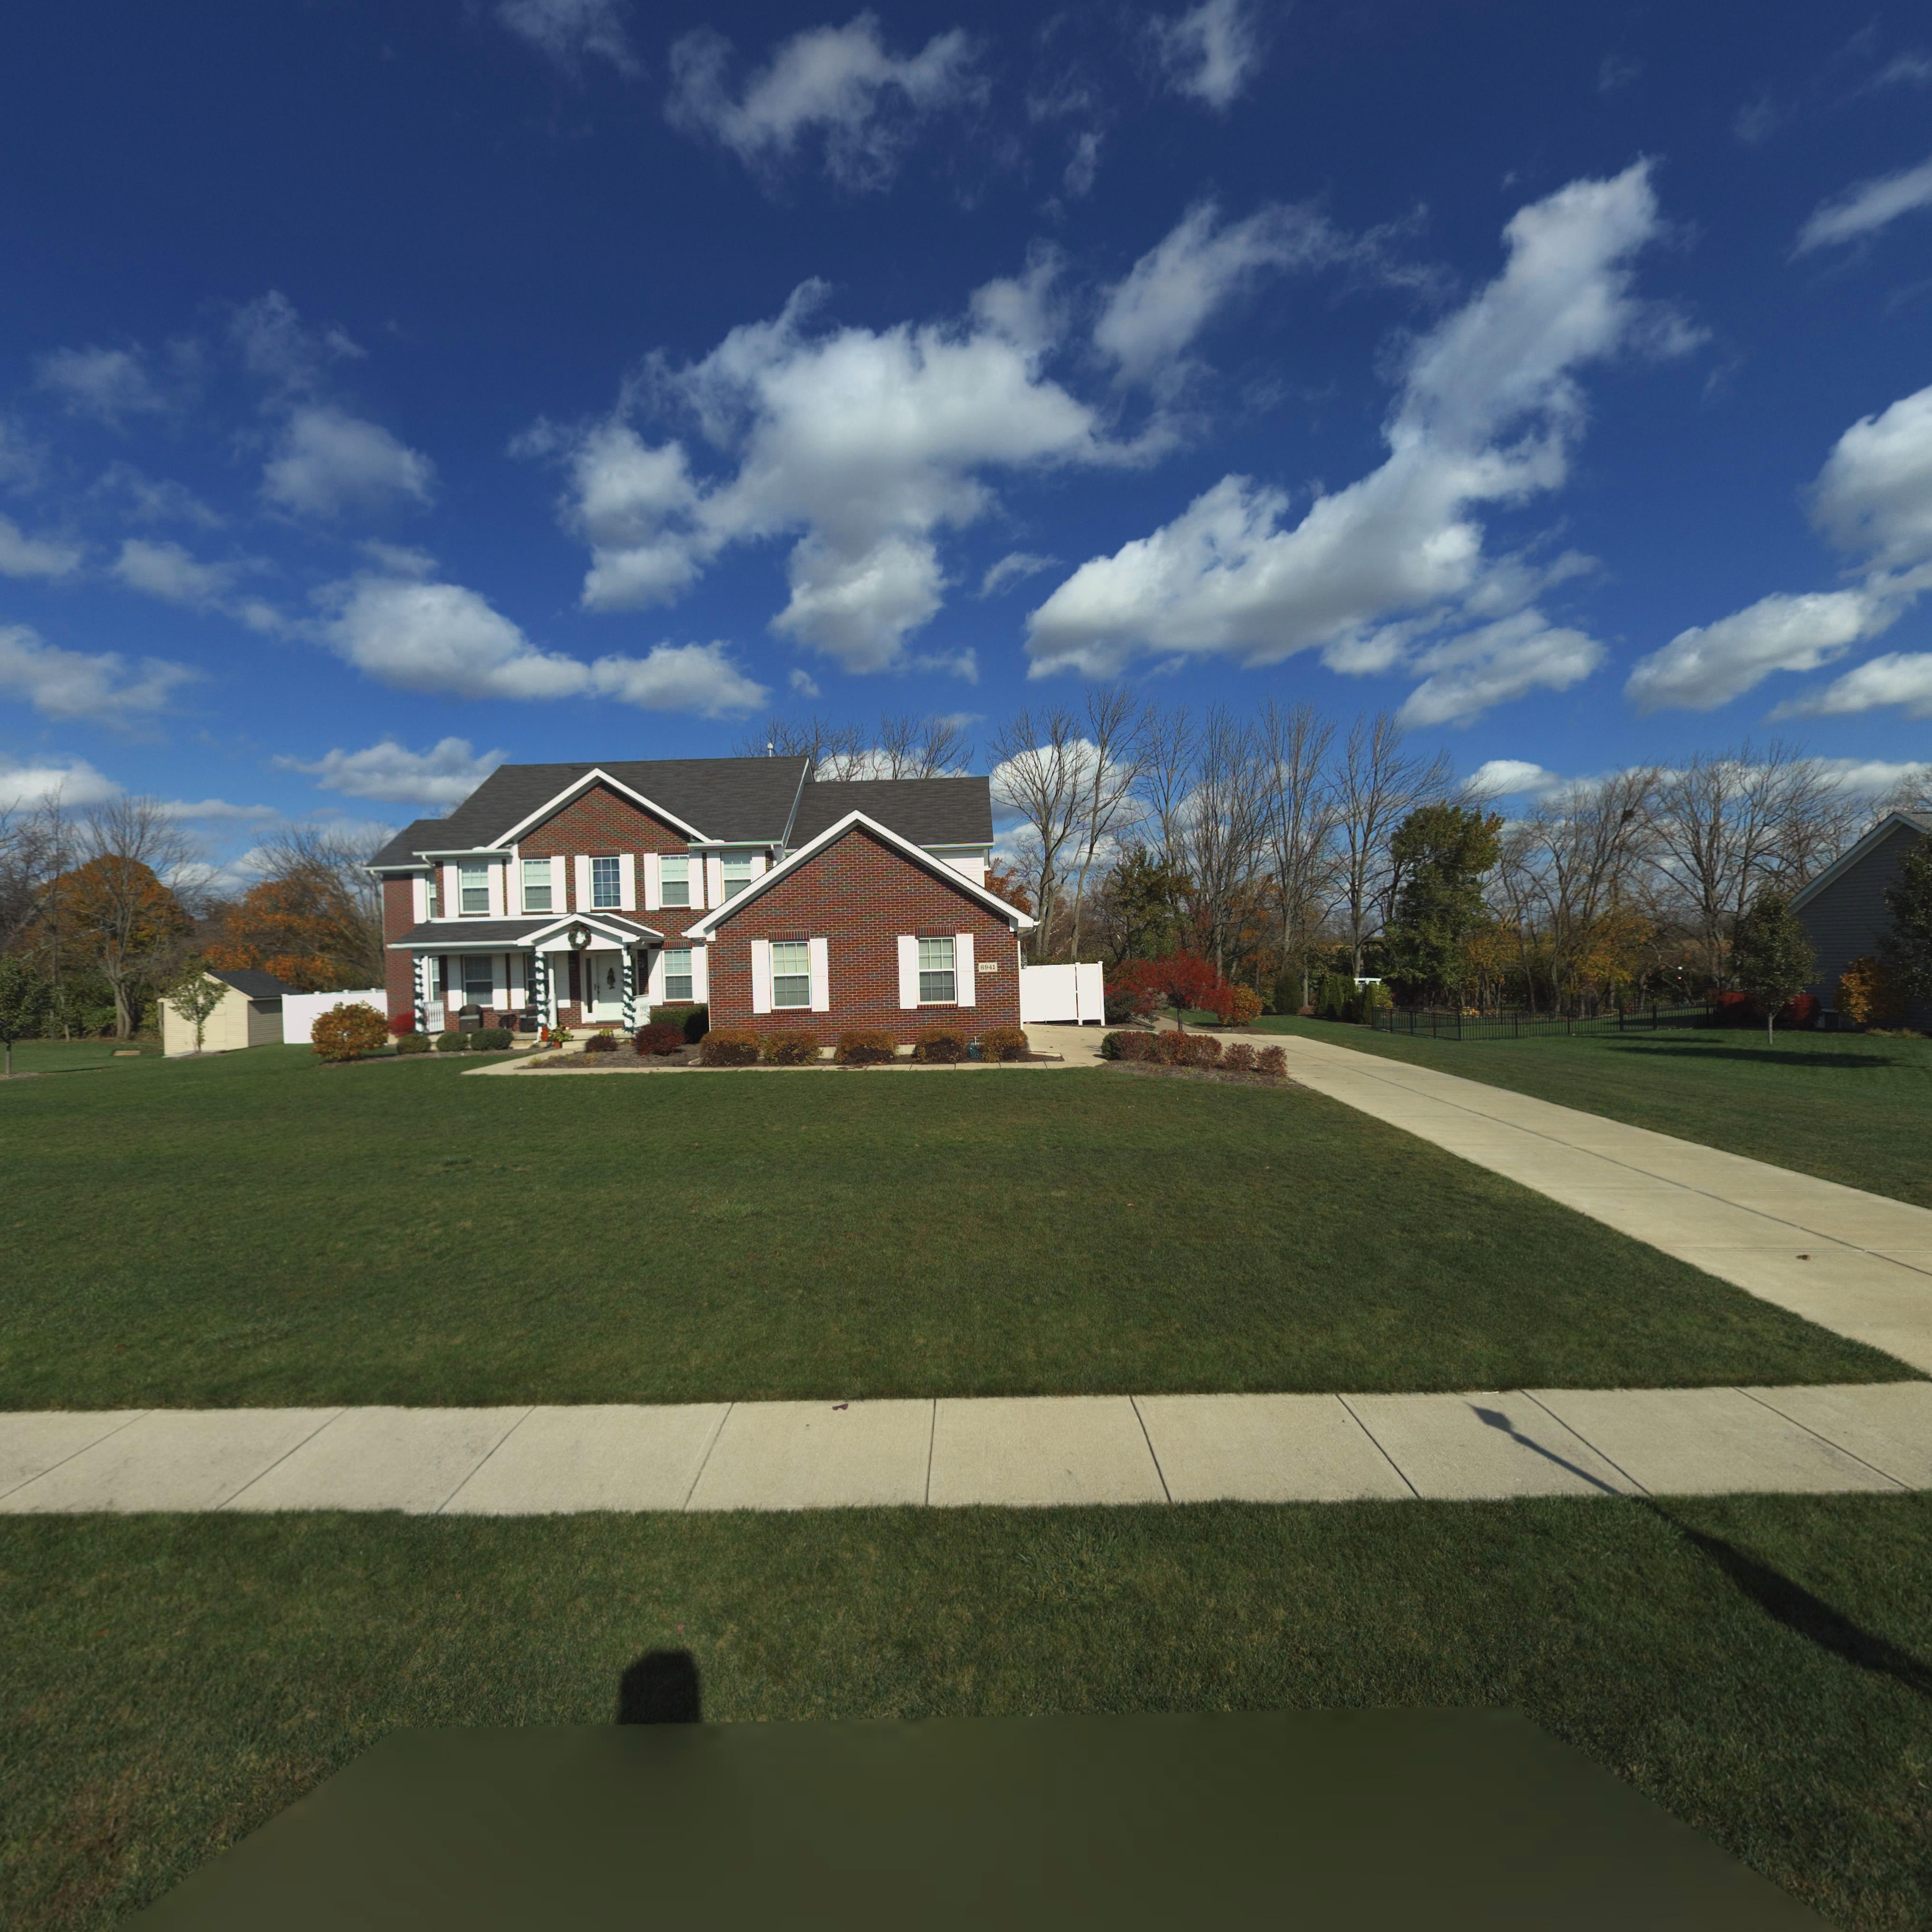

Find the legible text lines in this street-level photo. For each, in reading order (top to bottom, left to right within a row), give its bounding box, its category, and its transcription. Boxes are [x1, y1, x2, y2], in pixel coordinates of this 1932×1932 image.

[980, 964, 995, 970] StreetNumber: 6941